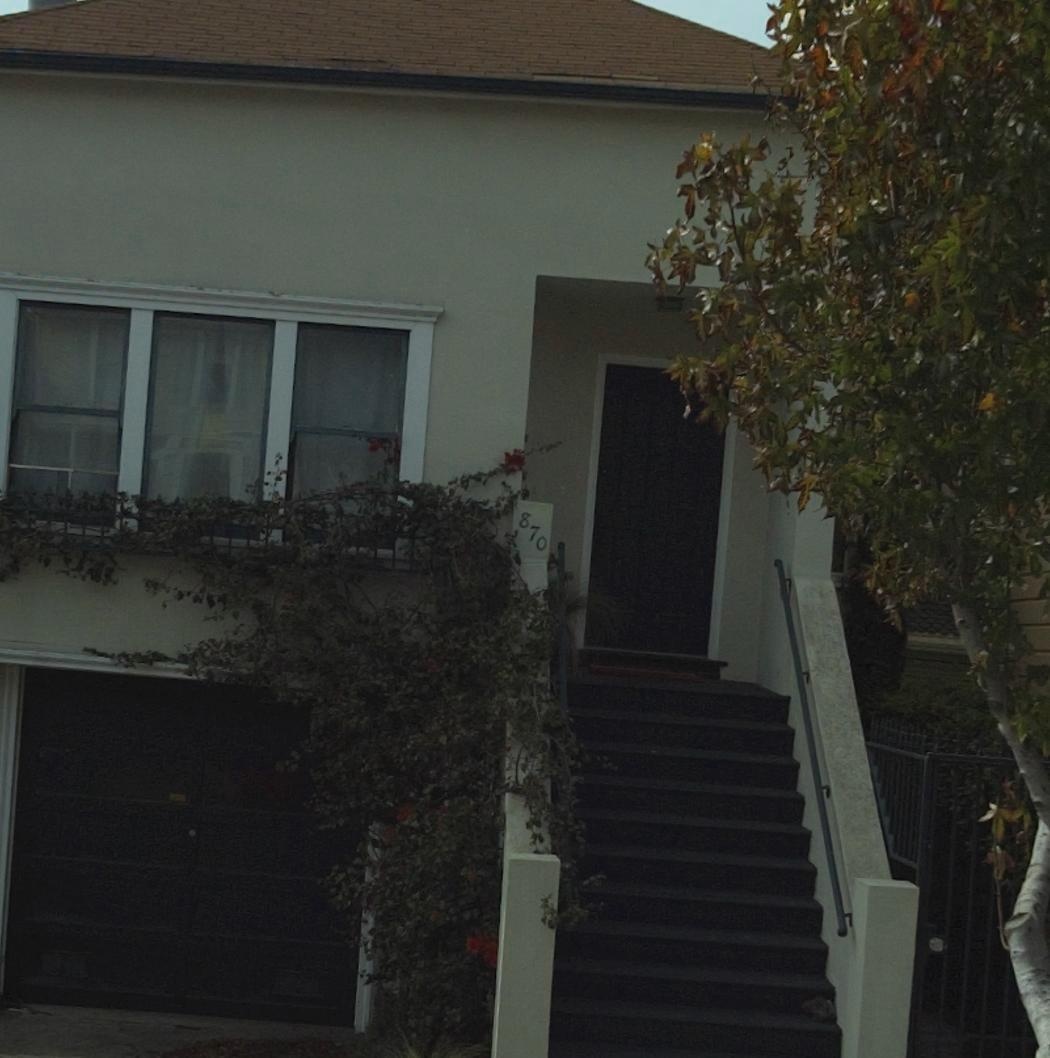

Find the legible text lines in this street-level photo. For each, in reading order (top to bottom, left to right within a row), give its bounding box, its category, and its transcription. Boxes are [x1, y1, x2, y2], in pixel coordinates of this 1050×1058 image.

[515, 507, 550, 556] StreetNumber: 870